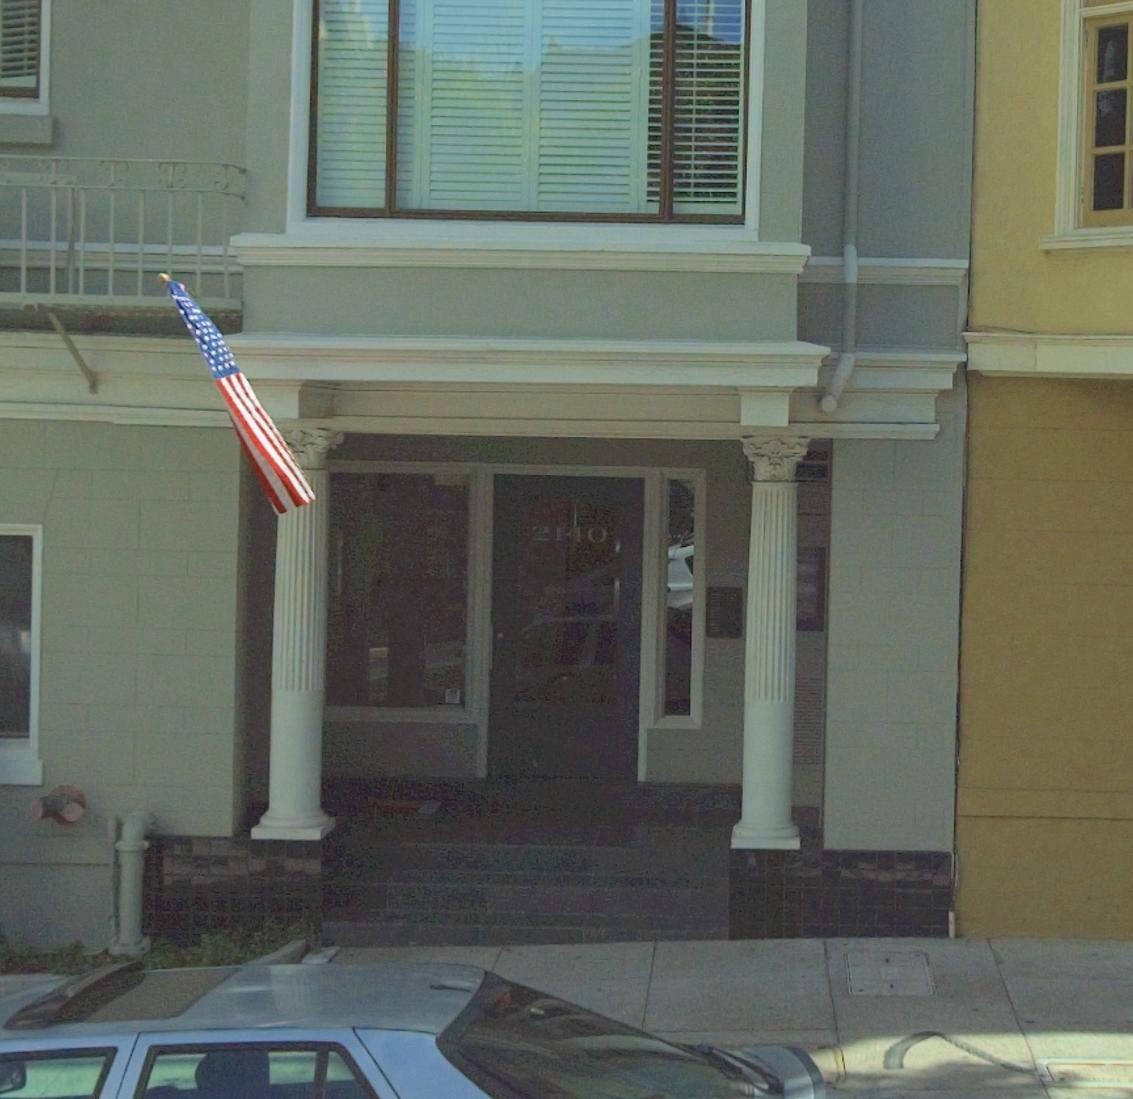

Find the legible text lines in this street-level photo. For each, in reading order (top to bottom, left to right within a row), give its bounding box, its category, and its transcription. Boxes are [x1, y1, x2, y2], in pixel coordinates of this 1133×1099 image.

[530, 523, 609, 545] StreetNumber: 2140